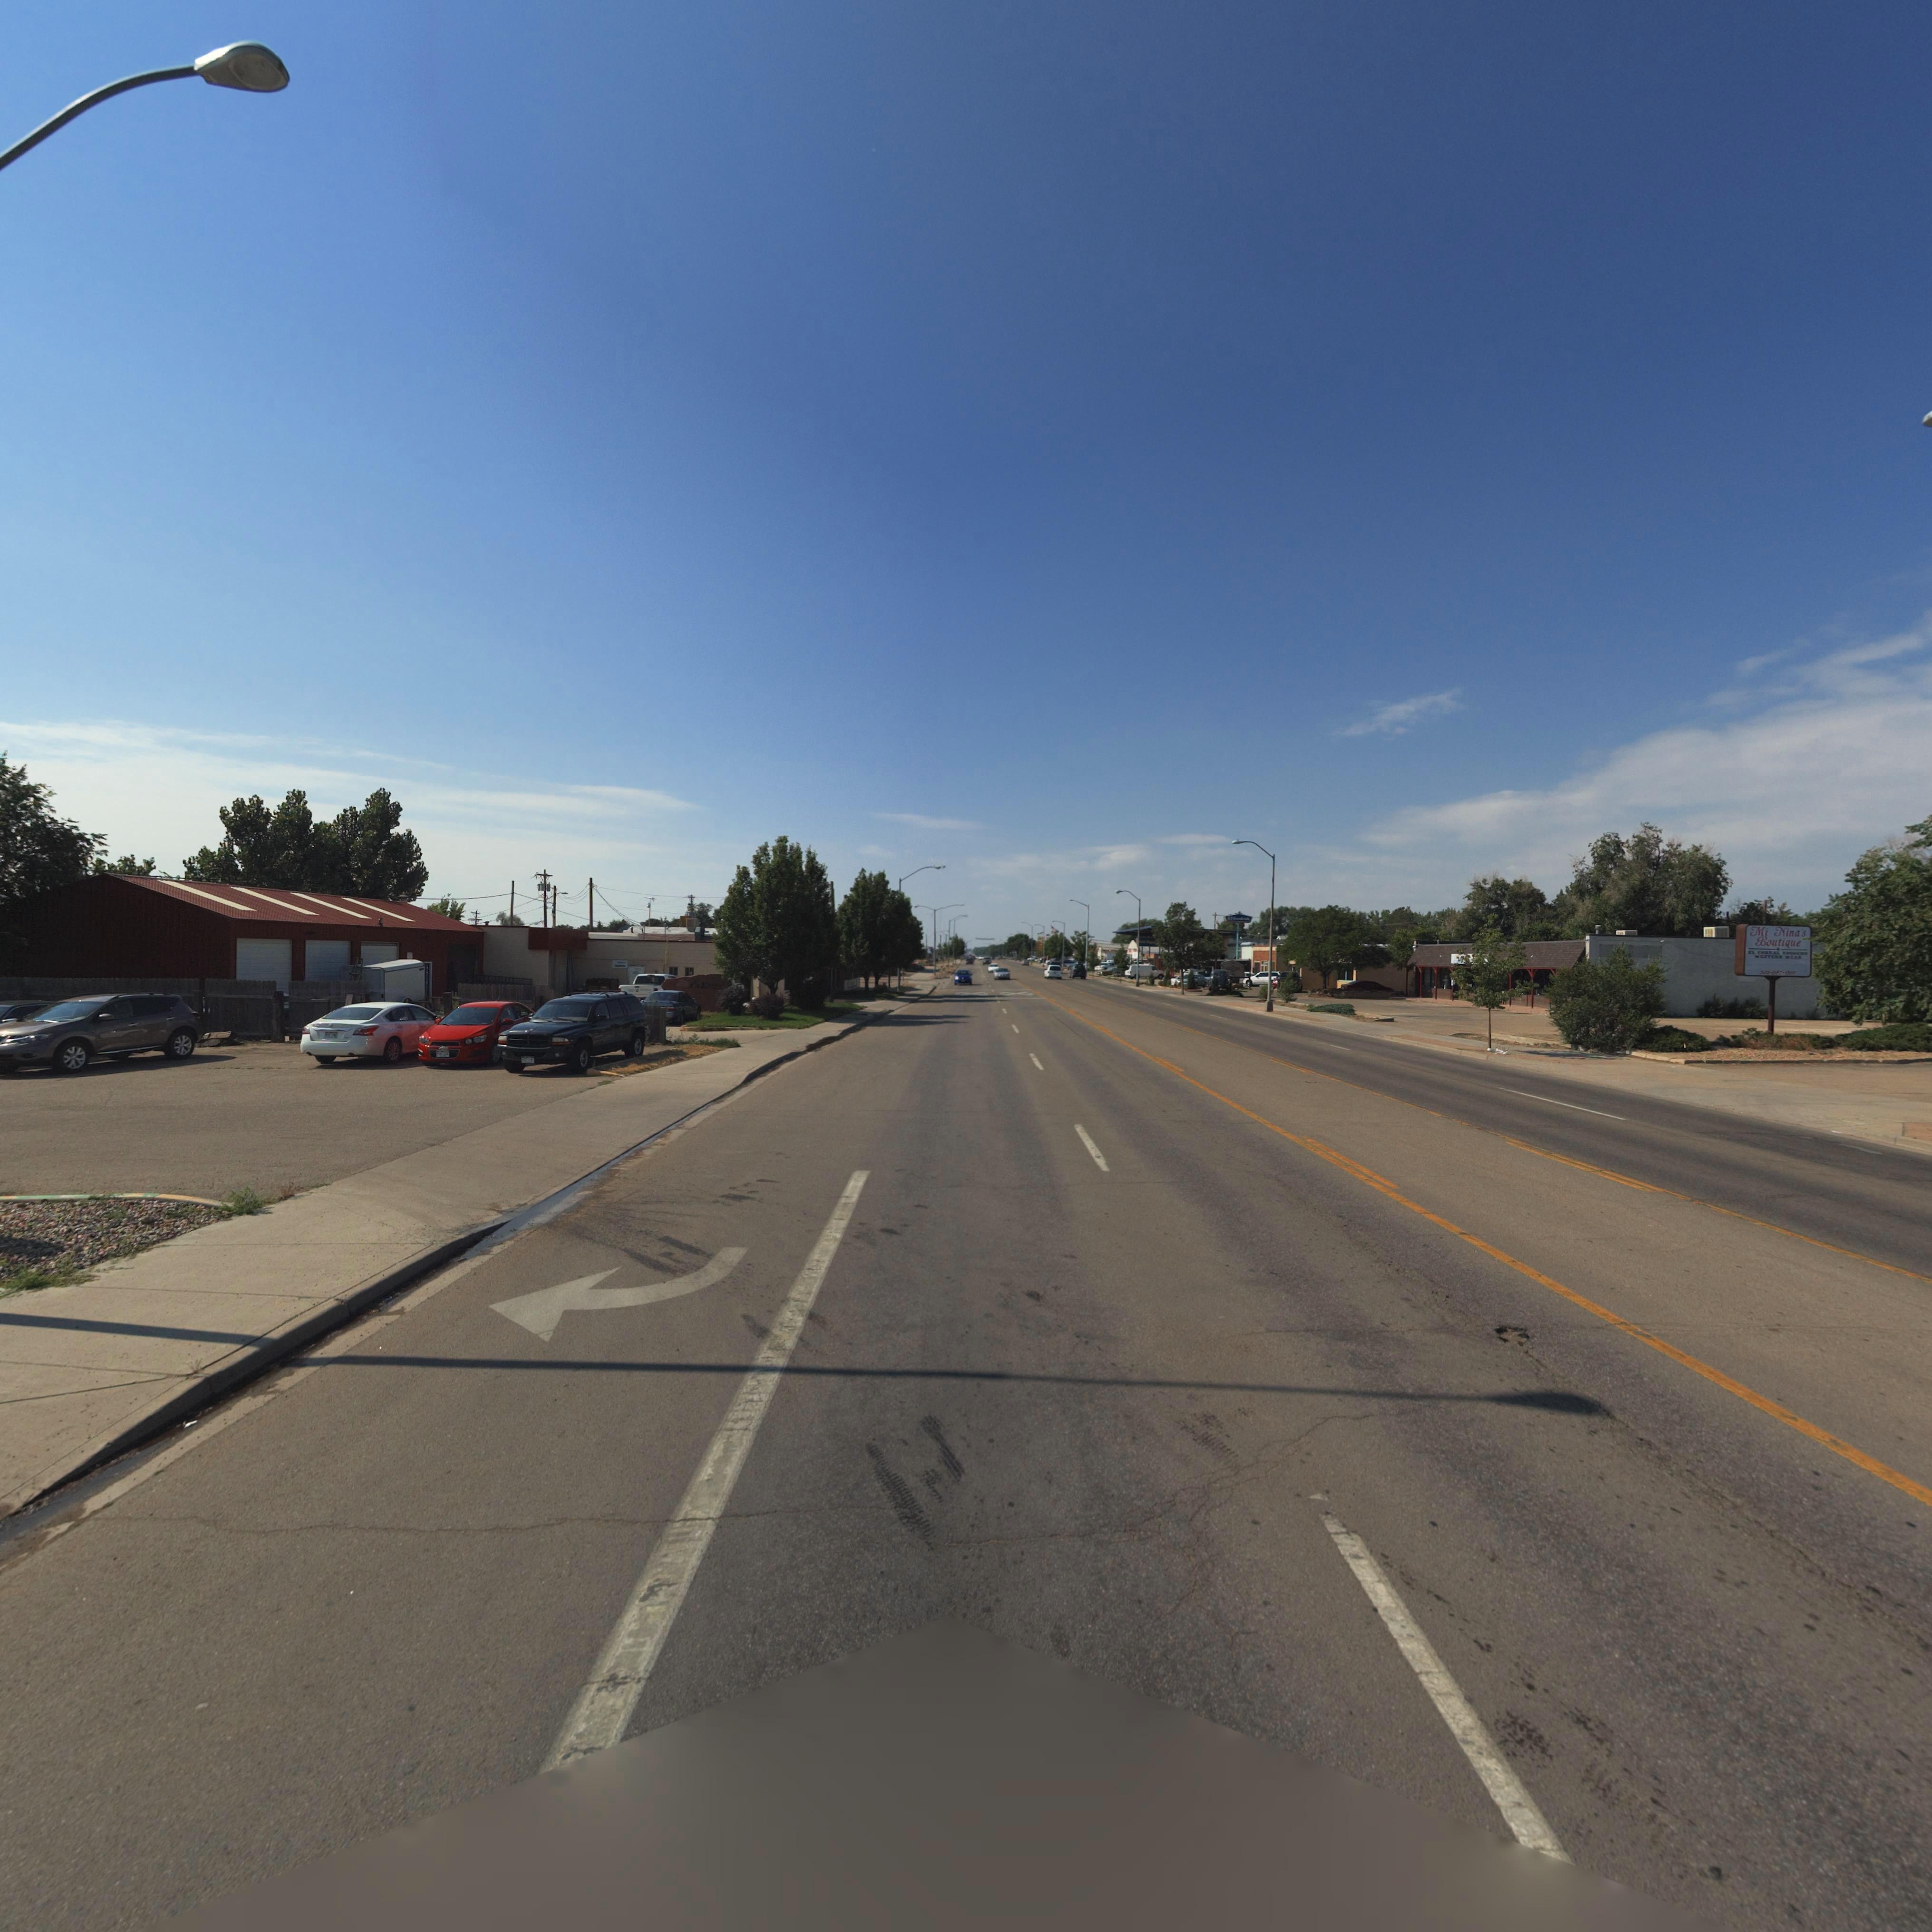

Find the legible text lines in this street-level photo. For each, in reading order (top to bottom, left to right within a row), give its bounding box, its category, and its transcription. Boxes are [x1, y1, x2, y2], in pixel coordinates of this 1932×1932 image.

[1749, 926, 1806, 937] BusinessName: Mi Nina's
[1755, 935, 1801, 948] BusinessName: Boutique
[701, 982, 724, 989] BusinessName: E*****